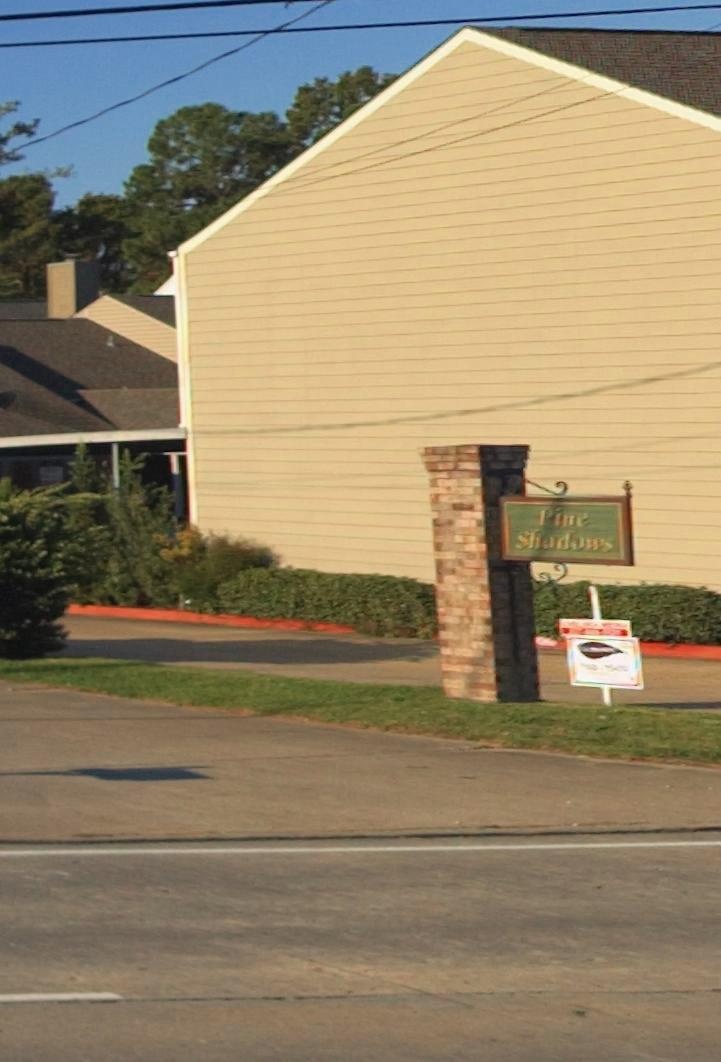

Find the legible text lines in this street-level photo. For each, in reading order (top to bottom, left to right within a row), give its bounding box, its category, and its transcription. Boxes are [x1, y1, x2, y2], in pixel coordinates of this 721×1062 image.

[536, 505, 592, 530] BusinessName: Pine
[509, 525, 624, 556] BusinessName: Shadows